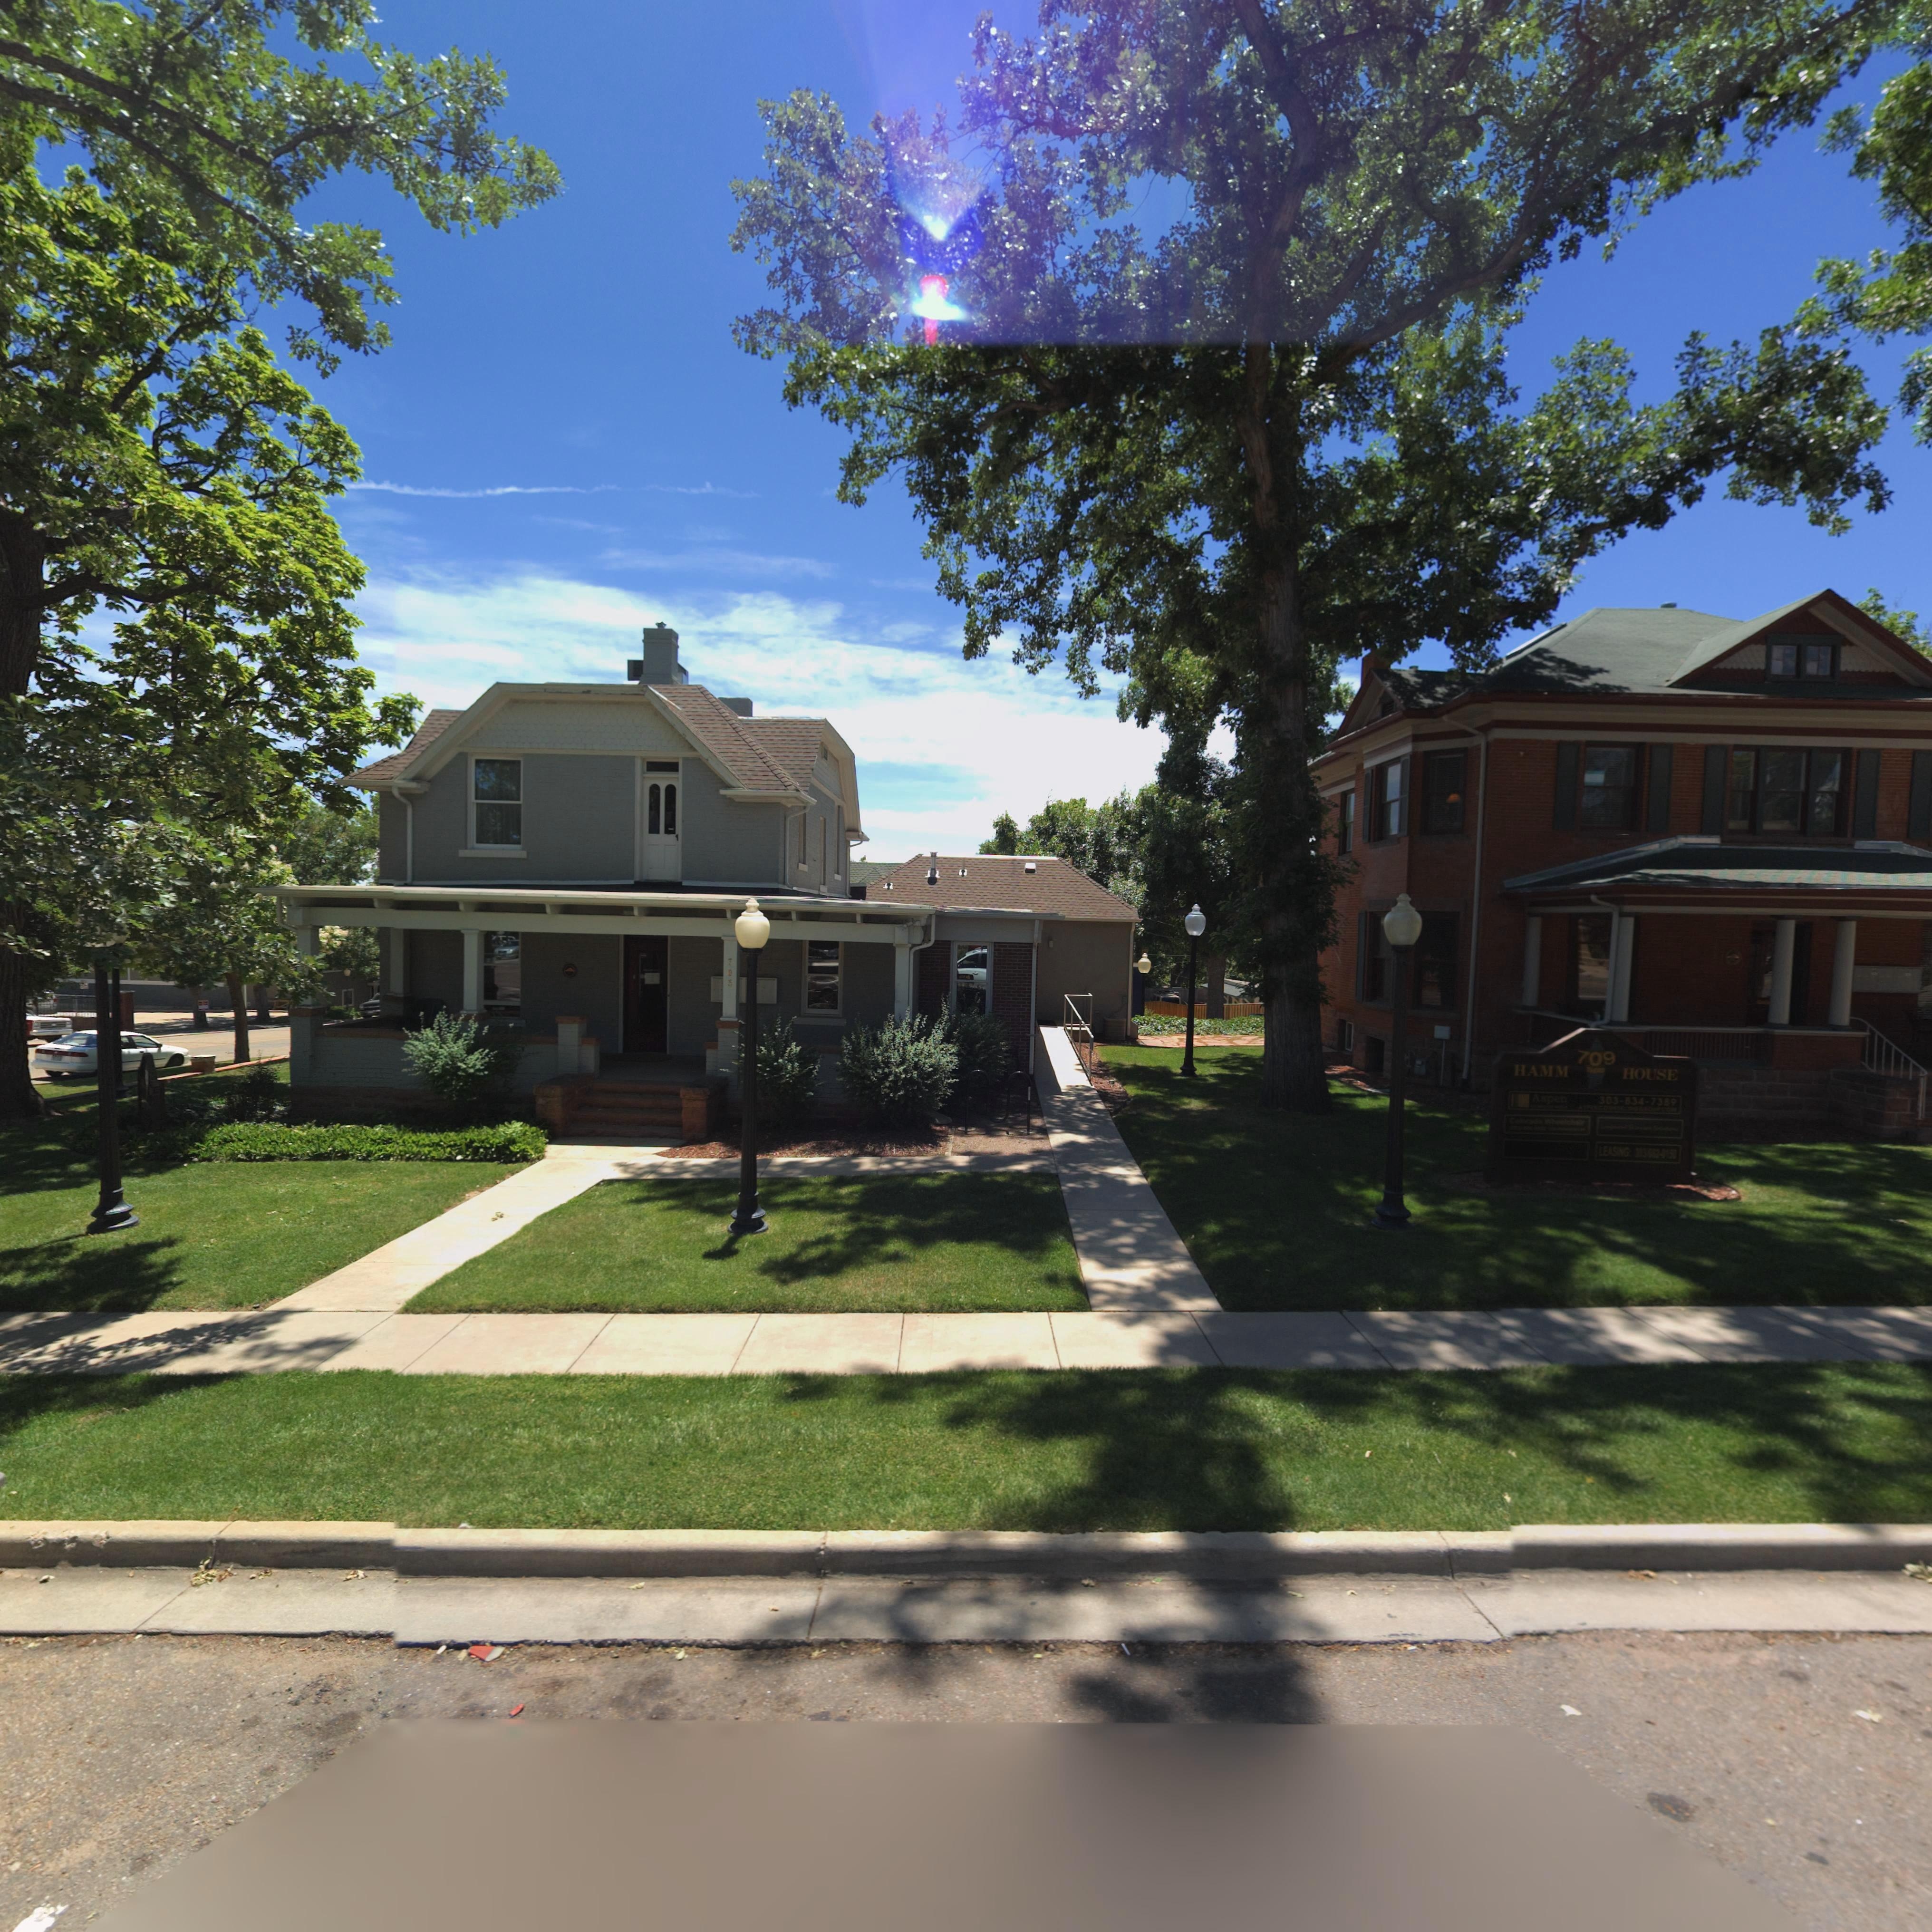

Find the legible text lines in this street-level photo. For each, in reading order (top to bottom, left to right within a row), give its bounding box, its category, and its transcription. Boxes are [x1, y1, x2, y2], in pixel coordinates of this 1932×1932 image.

[727, 957, 733, 986] StreetNumber: 703
[1577, 1050, 1616, 1066] StreetNumber: 709
[1514, 1064, 1568, 1077] BusinessName: HAMM
[1623, 1067, 1677, 1081] BusinessName: HOUSE
[1532, 1092, 1568, 1103] BusinessName: Aspen
[1510, 1117, 1585, 1126] BusinessName: Colorado Wheelchair